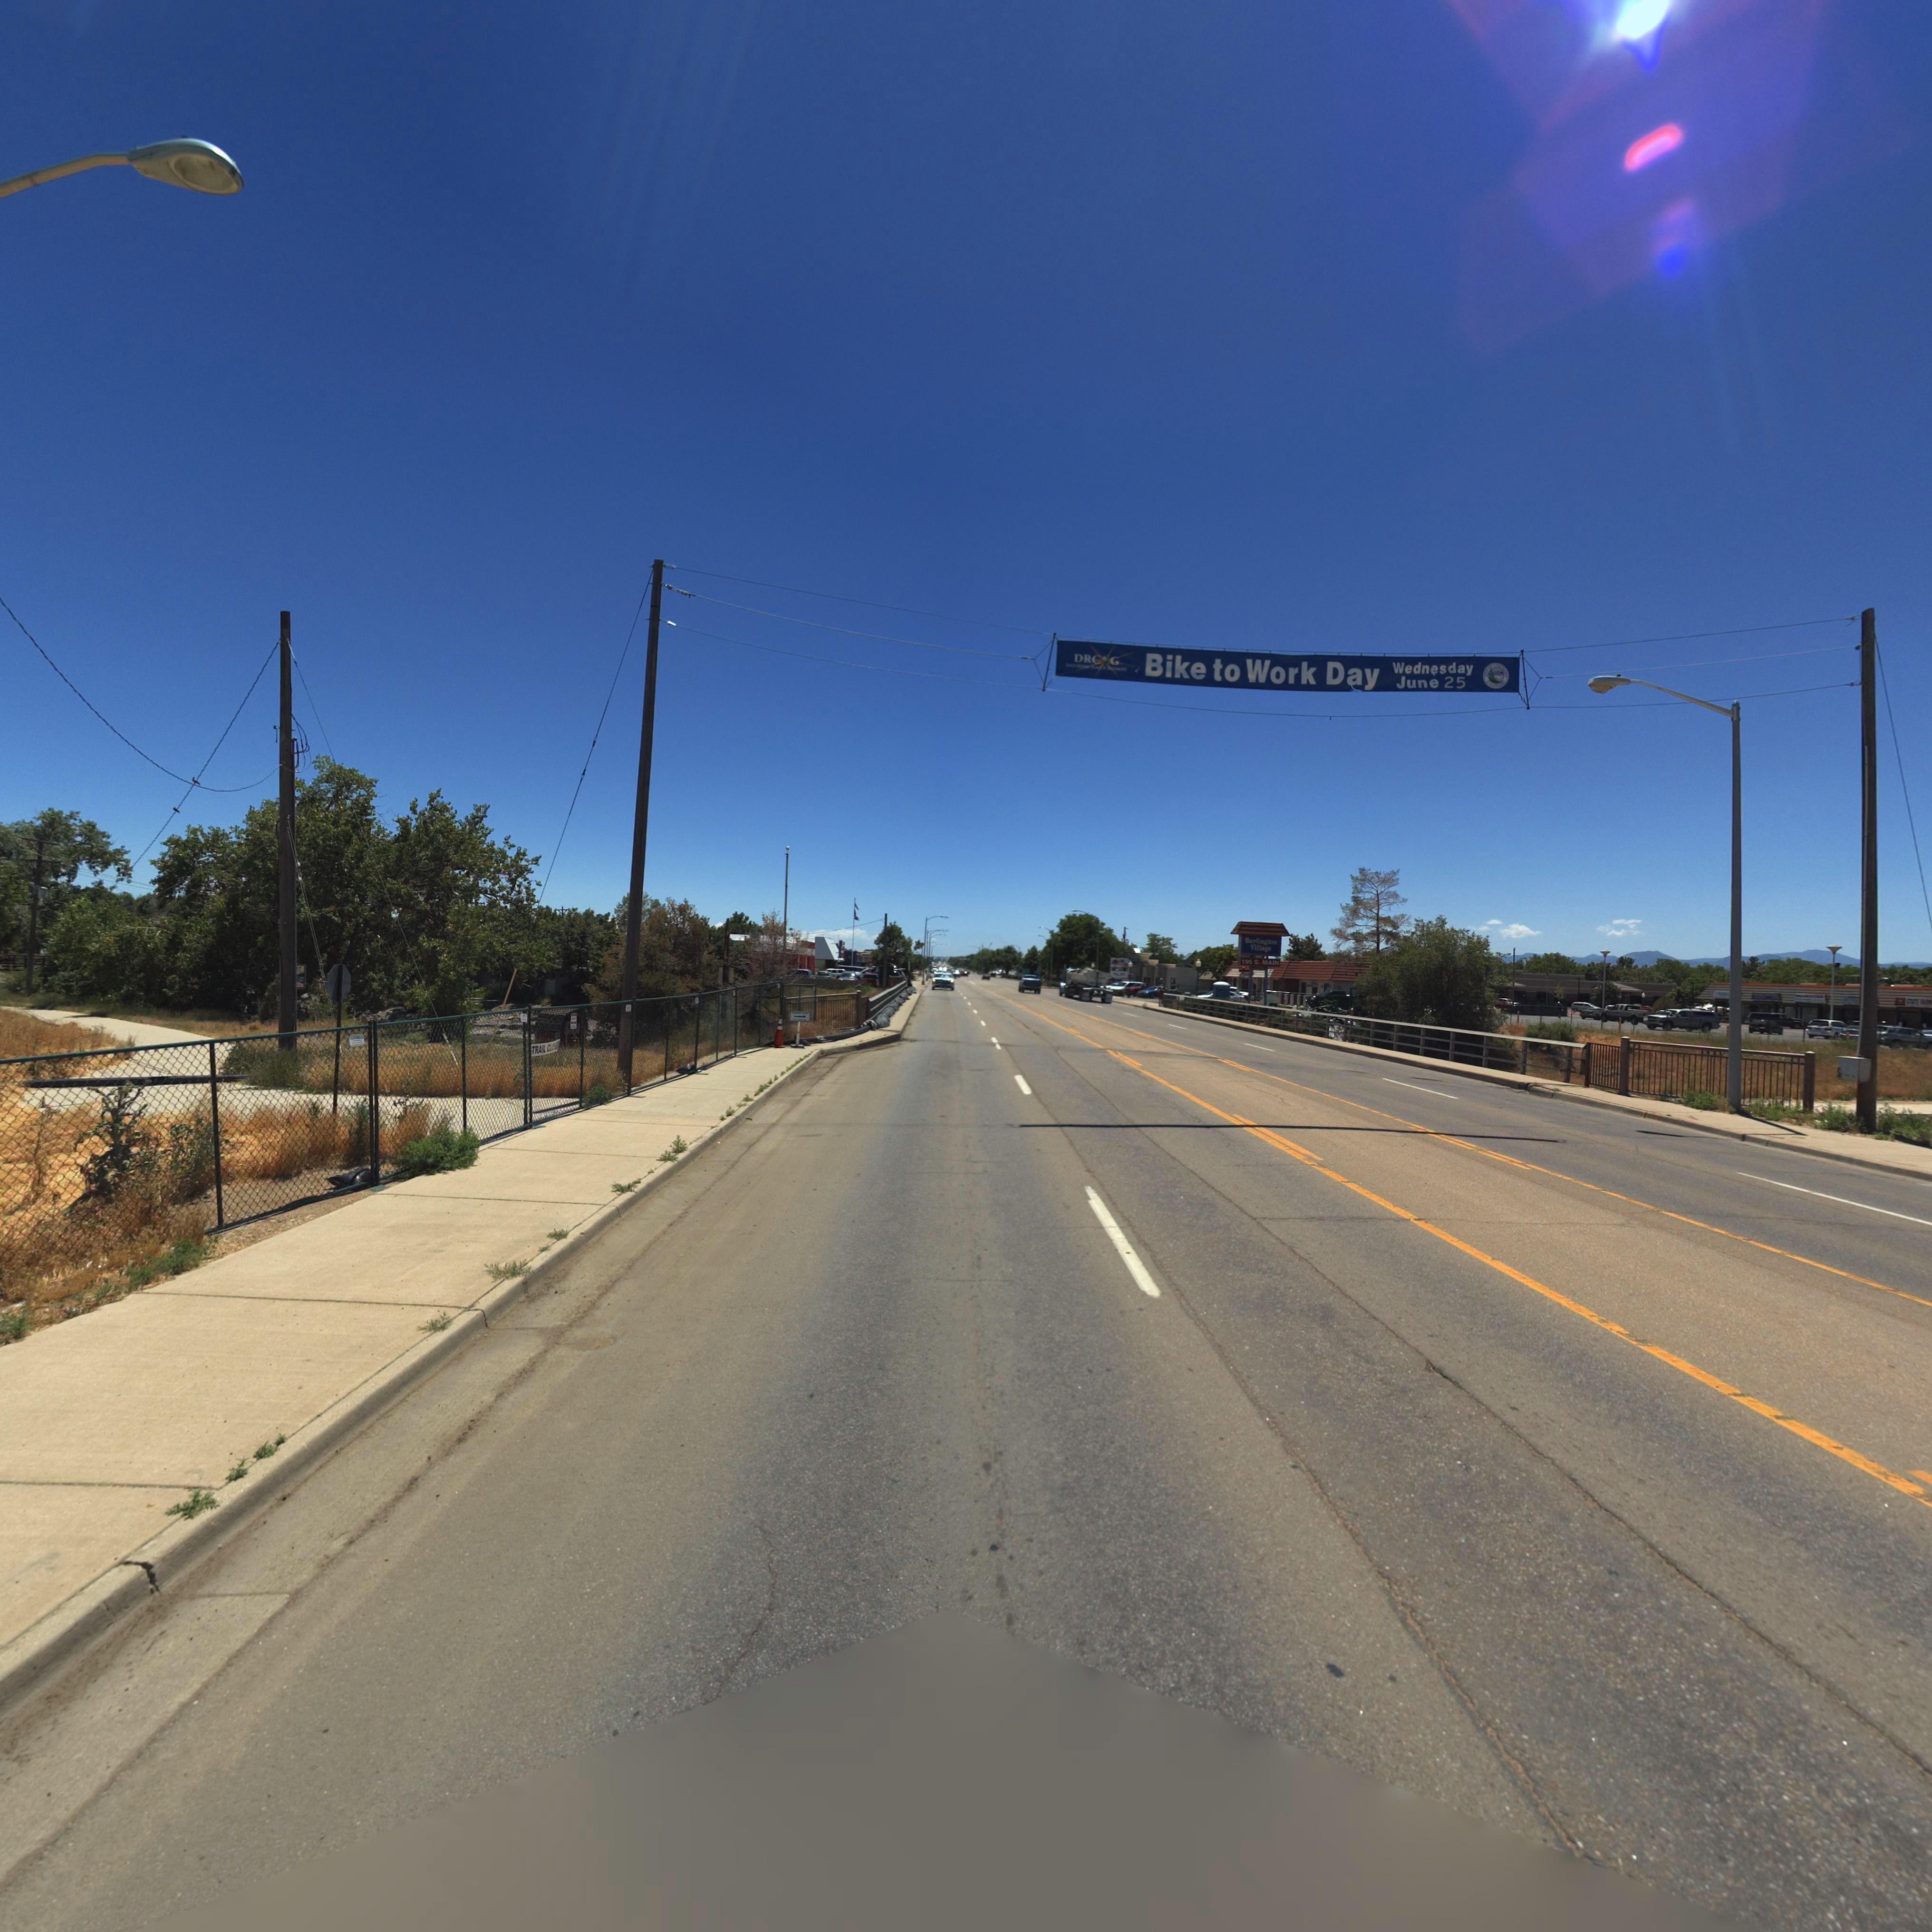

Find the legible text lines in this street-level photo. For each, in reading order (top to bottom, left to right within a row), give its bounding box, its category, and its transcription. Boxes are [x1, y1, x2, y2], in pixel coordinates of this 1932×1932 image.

[1241, 959, 1253, 965] StreetNumber: 195
[1254, 959, 1279, 966] StreetName: S. MAIN